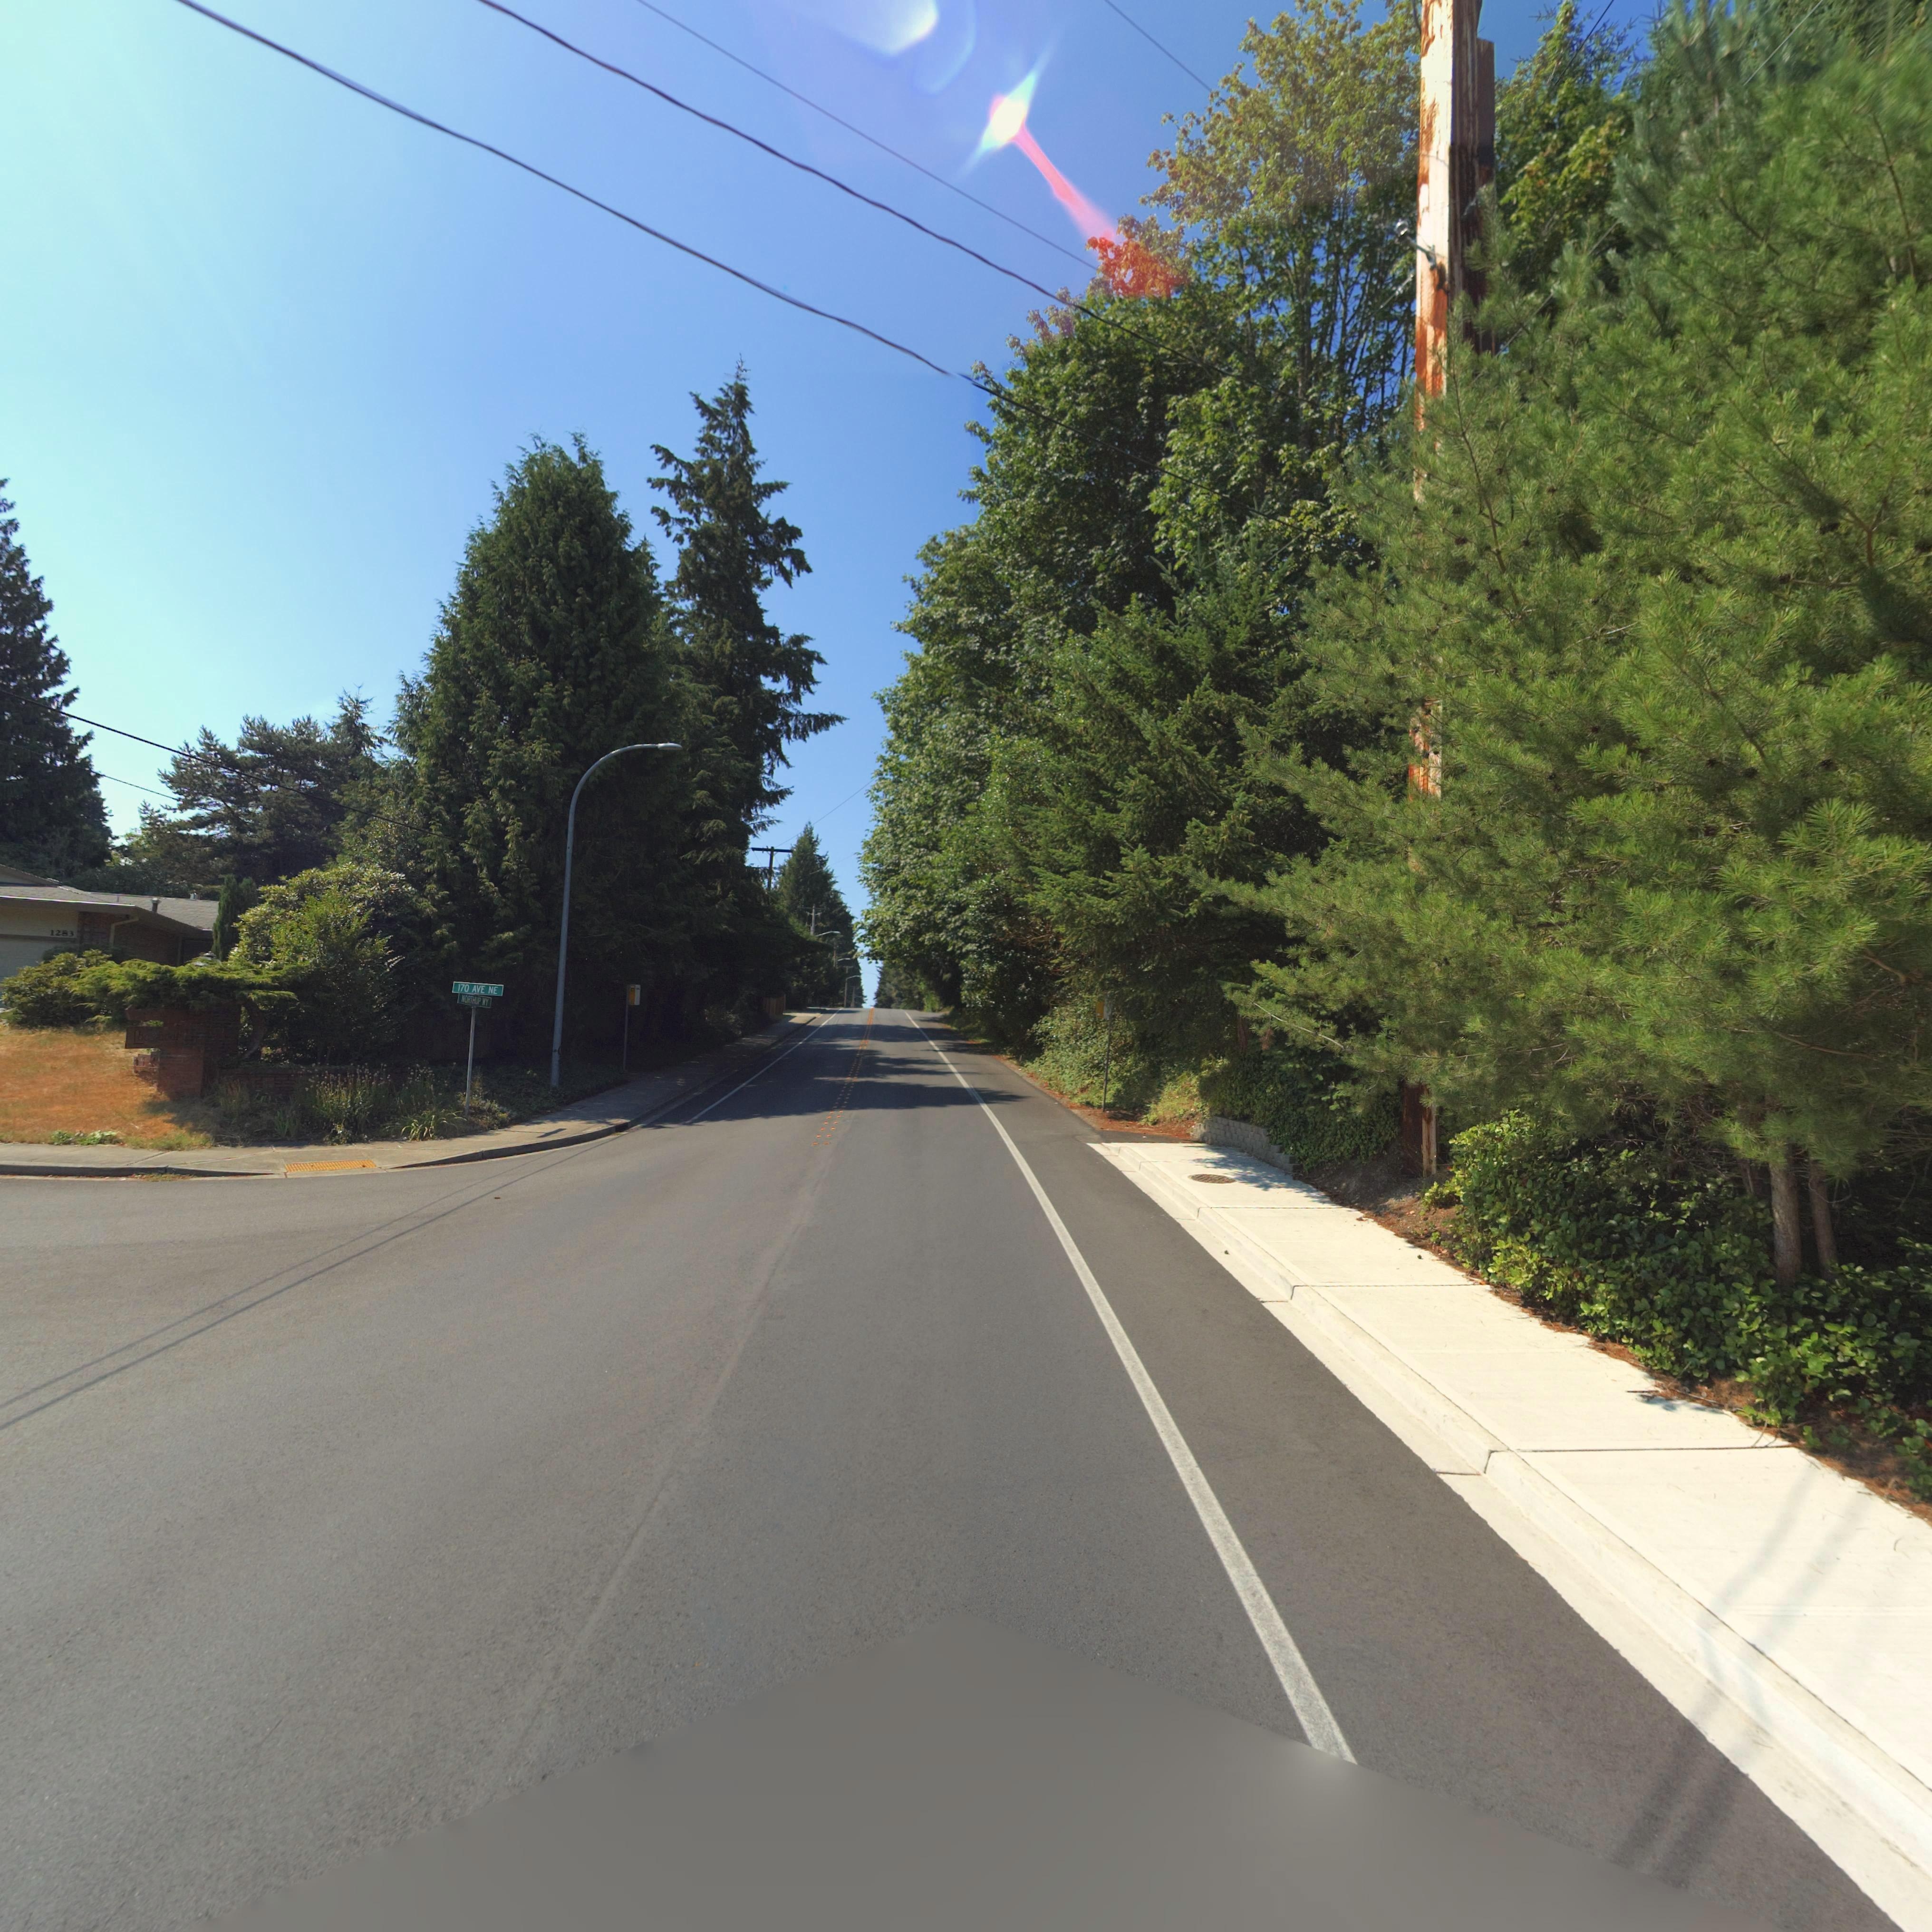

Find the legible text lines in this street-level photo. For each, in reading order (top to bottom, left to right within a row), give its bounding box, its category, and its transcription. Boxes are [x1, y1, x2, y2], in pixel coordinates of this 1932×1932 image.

[457, 983, 499, 995] StreetName: 170 AVE NE
[461, 993, 489, 1006] StreetName: NORTHUP WY